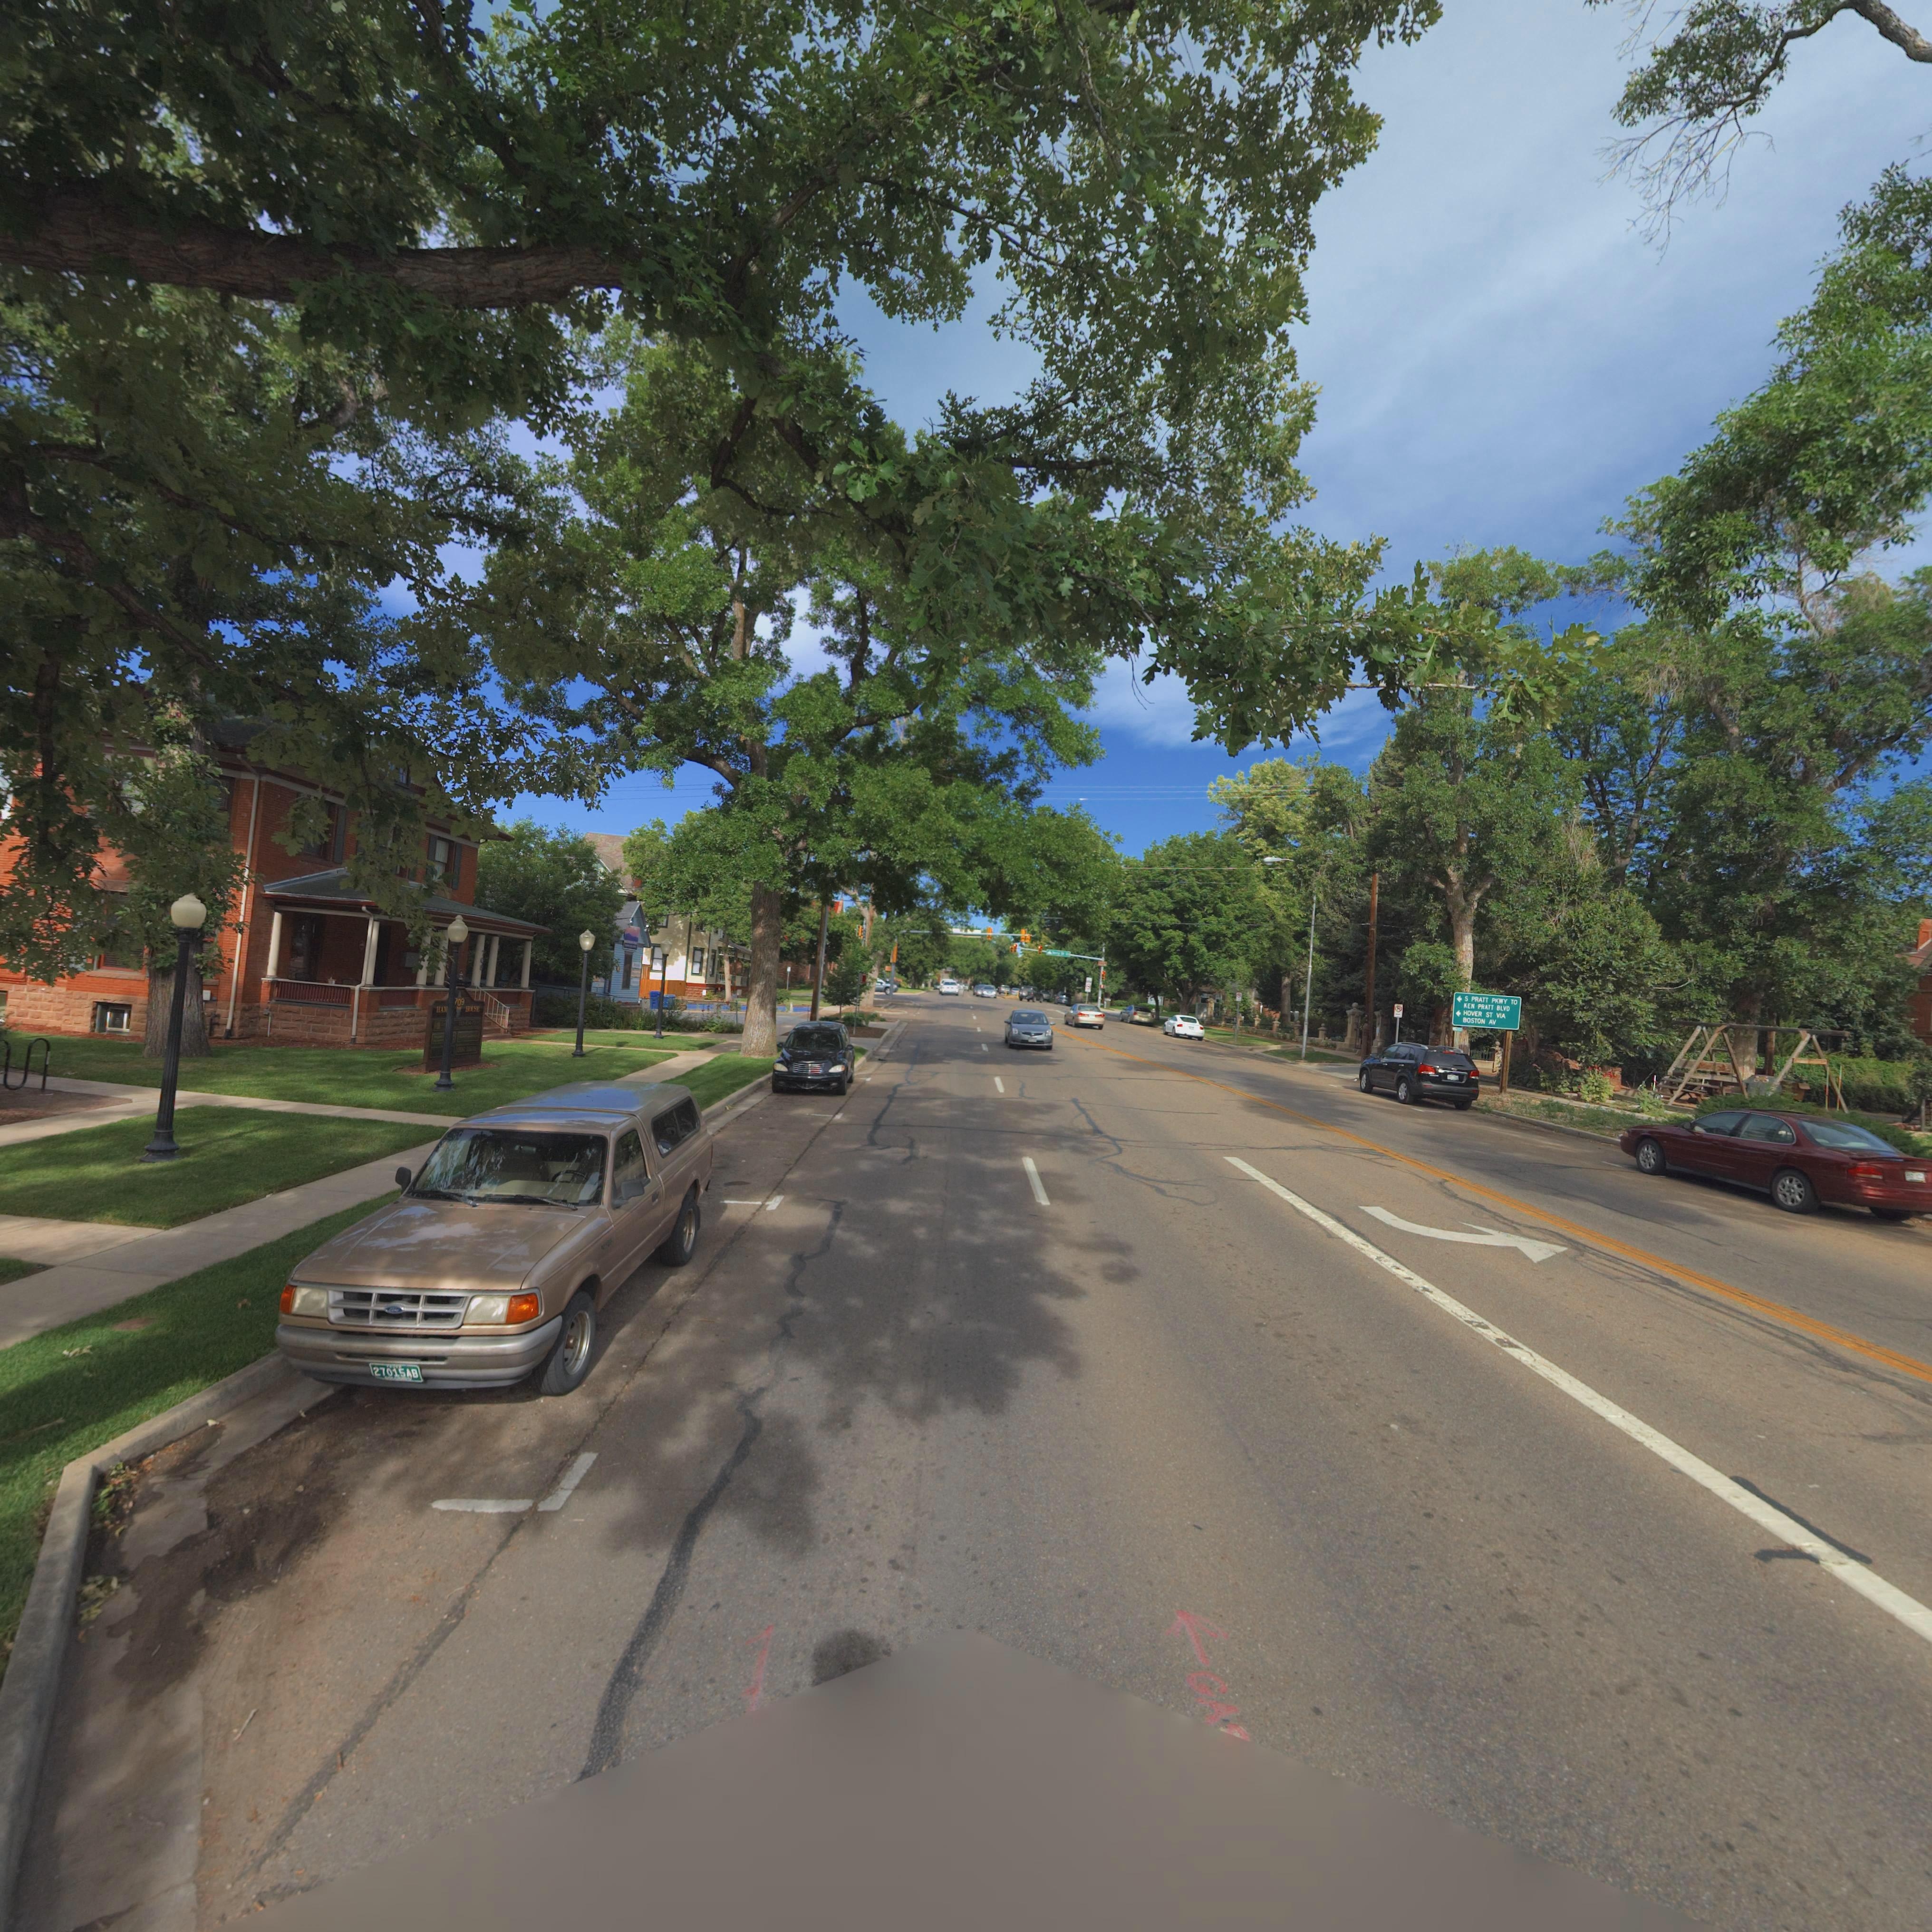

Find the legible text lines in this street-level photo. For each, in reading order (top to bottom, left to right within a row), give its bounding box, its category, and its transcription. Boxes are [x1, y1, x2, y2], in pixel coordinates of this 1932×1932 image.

[1051, 950, 1064, 955] StreetName: T***y S*
[454, 997, 465, 1005] StreetNumber: 709
[1464, 995, 1517, 1005] StreetName: S Pratt Pkwy To
[1462, 1010, 1507, 1019] StreetName: Hover St Via